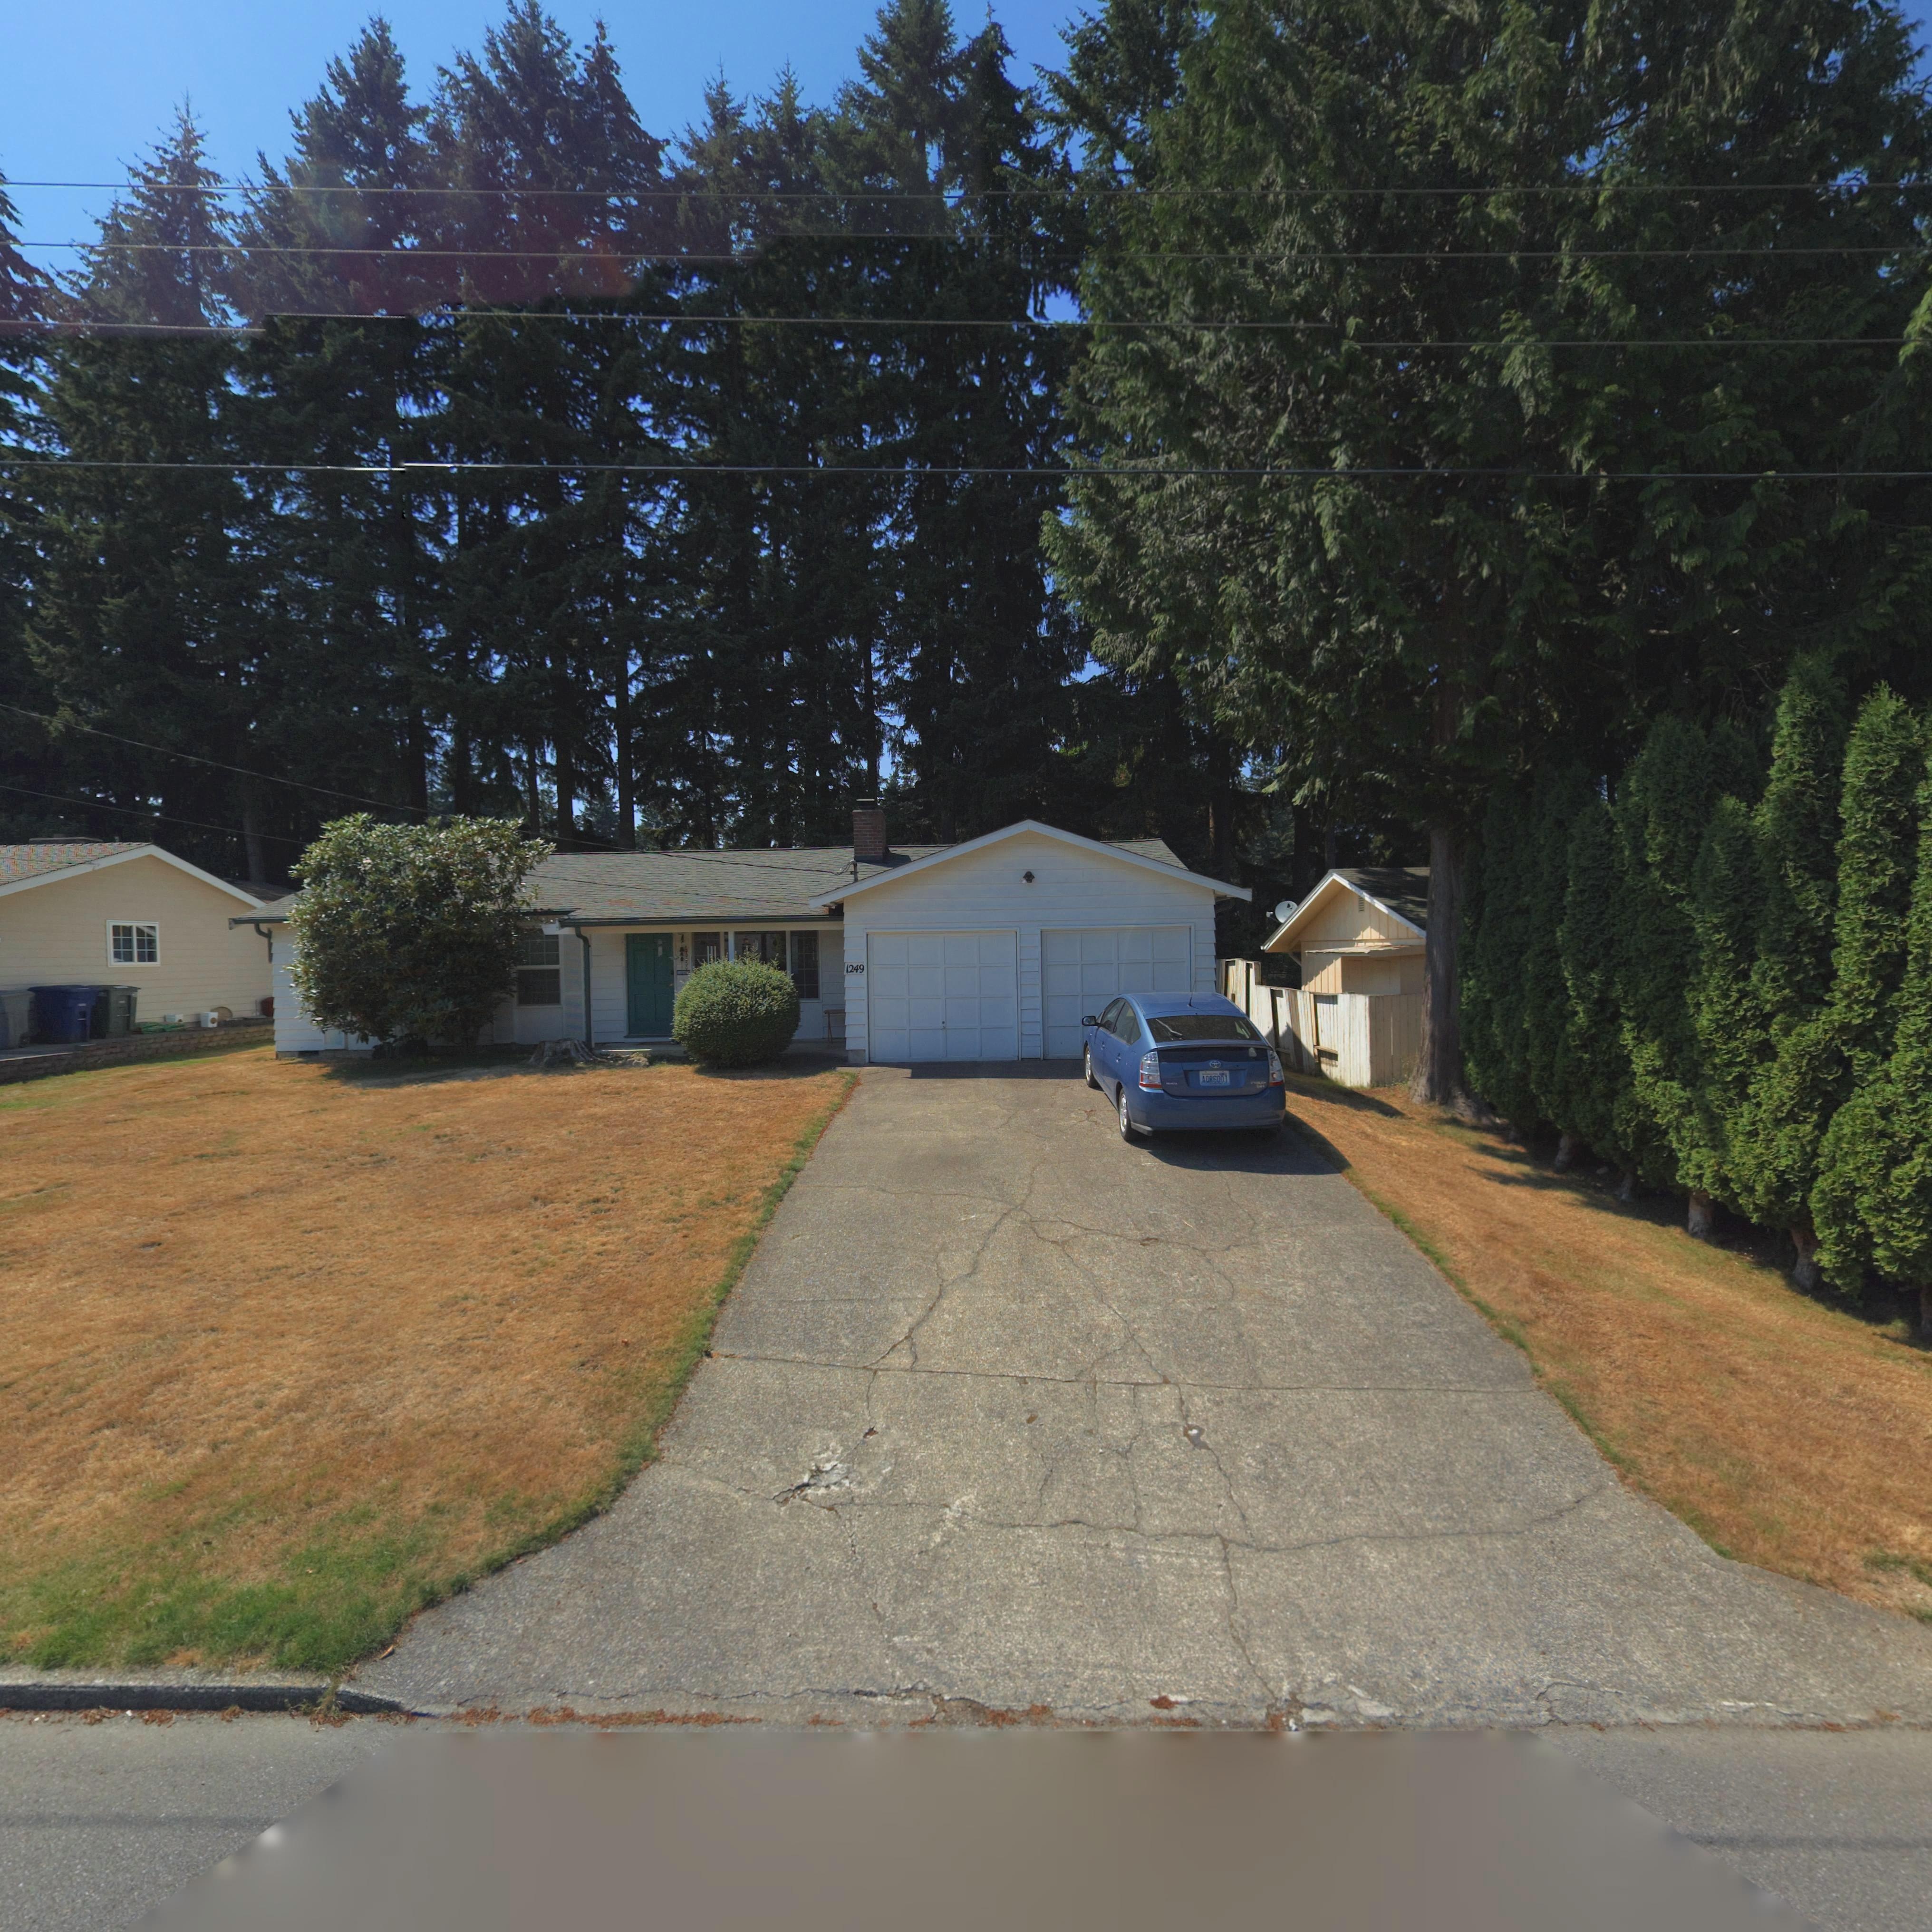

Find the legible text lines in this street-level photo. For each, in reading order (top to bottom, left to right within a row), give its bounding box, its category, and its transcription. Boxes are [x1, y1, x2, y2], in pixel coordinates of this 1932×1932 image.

[845, 964, 864, 974] StreetNumber: 1249